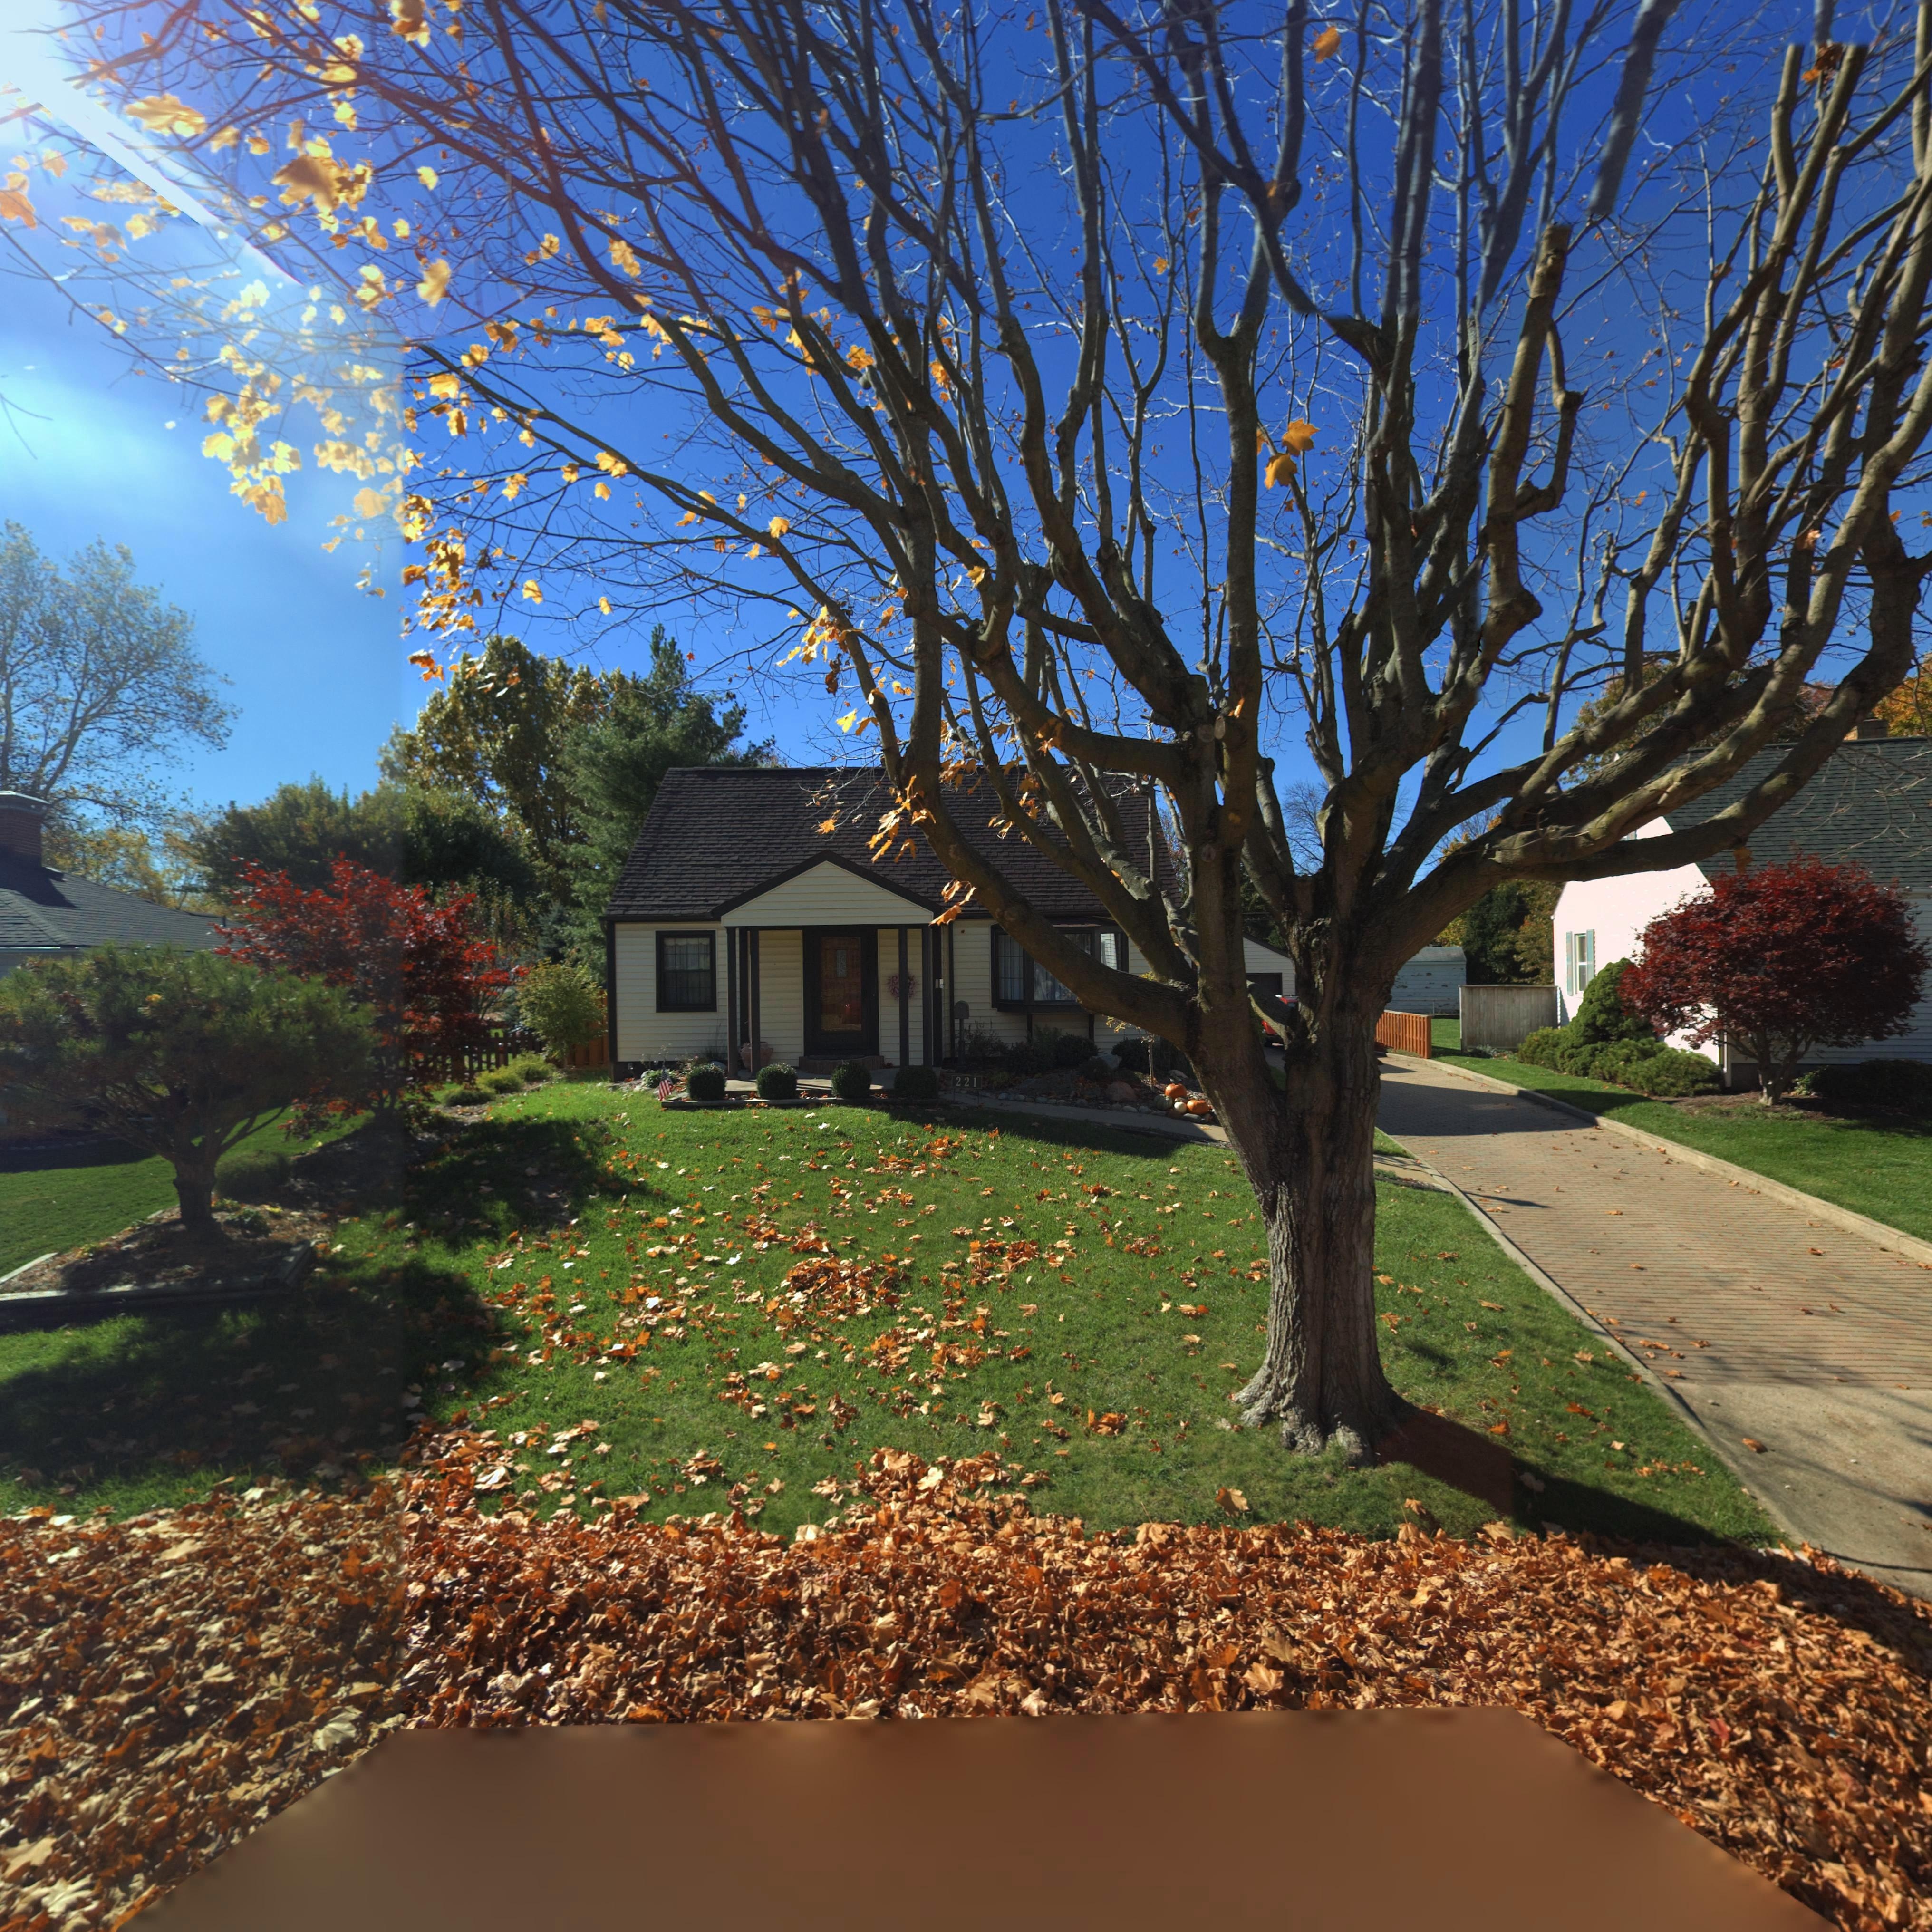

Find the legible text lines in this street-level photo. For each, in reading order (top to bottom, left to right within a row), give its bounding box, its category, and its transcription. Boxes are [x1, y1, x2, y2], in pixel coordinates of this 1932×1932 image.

[955, 1076, 977, 1088] StreetNumber: 221